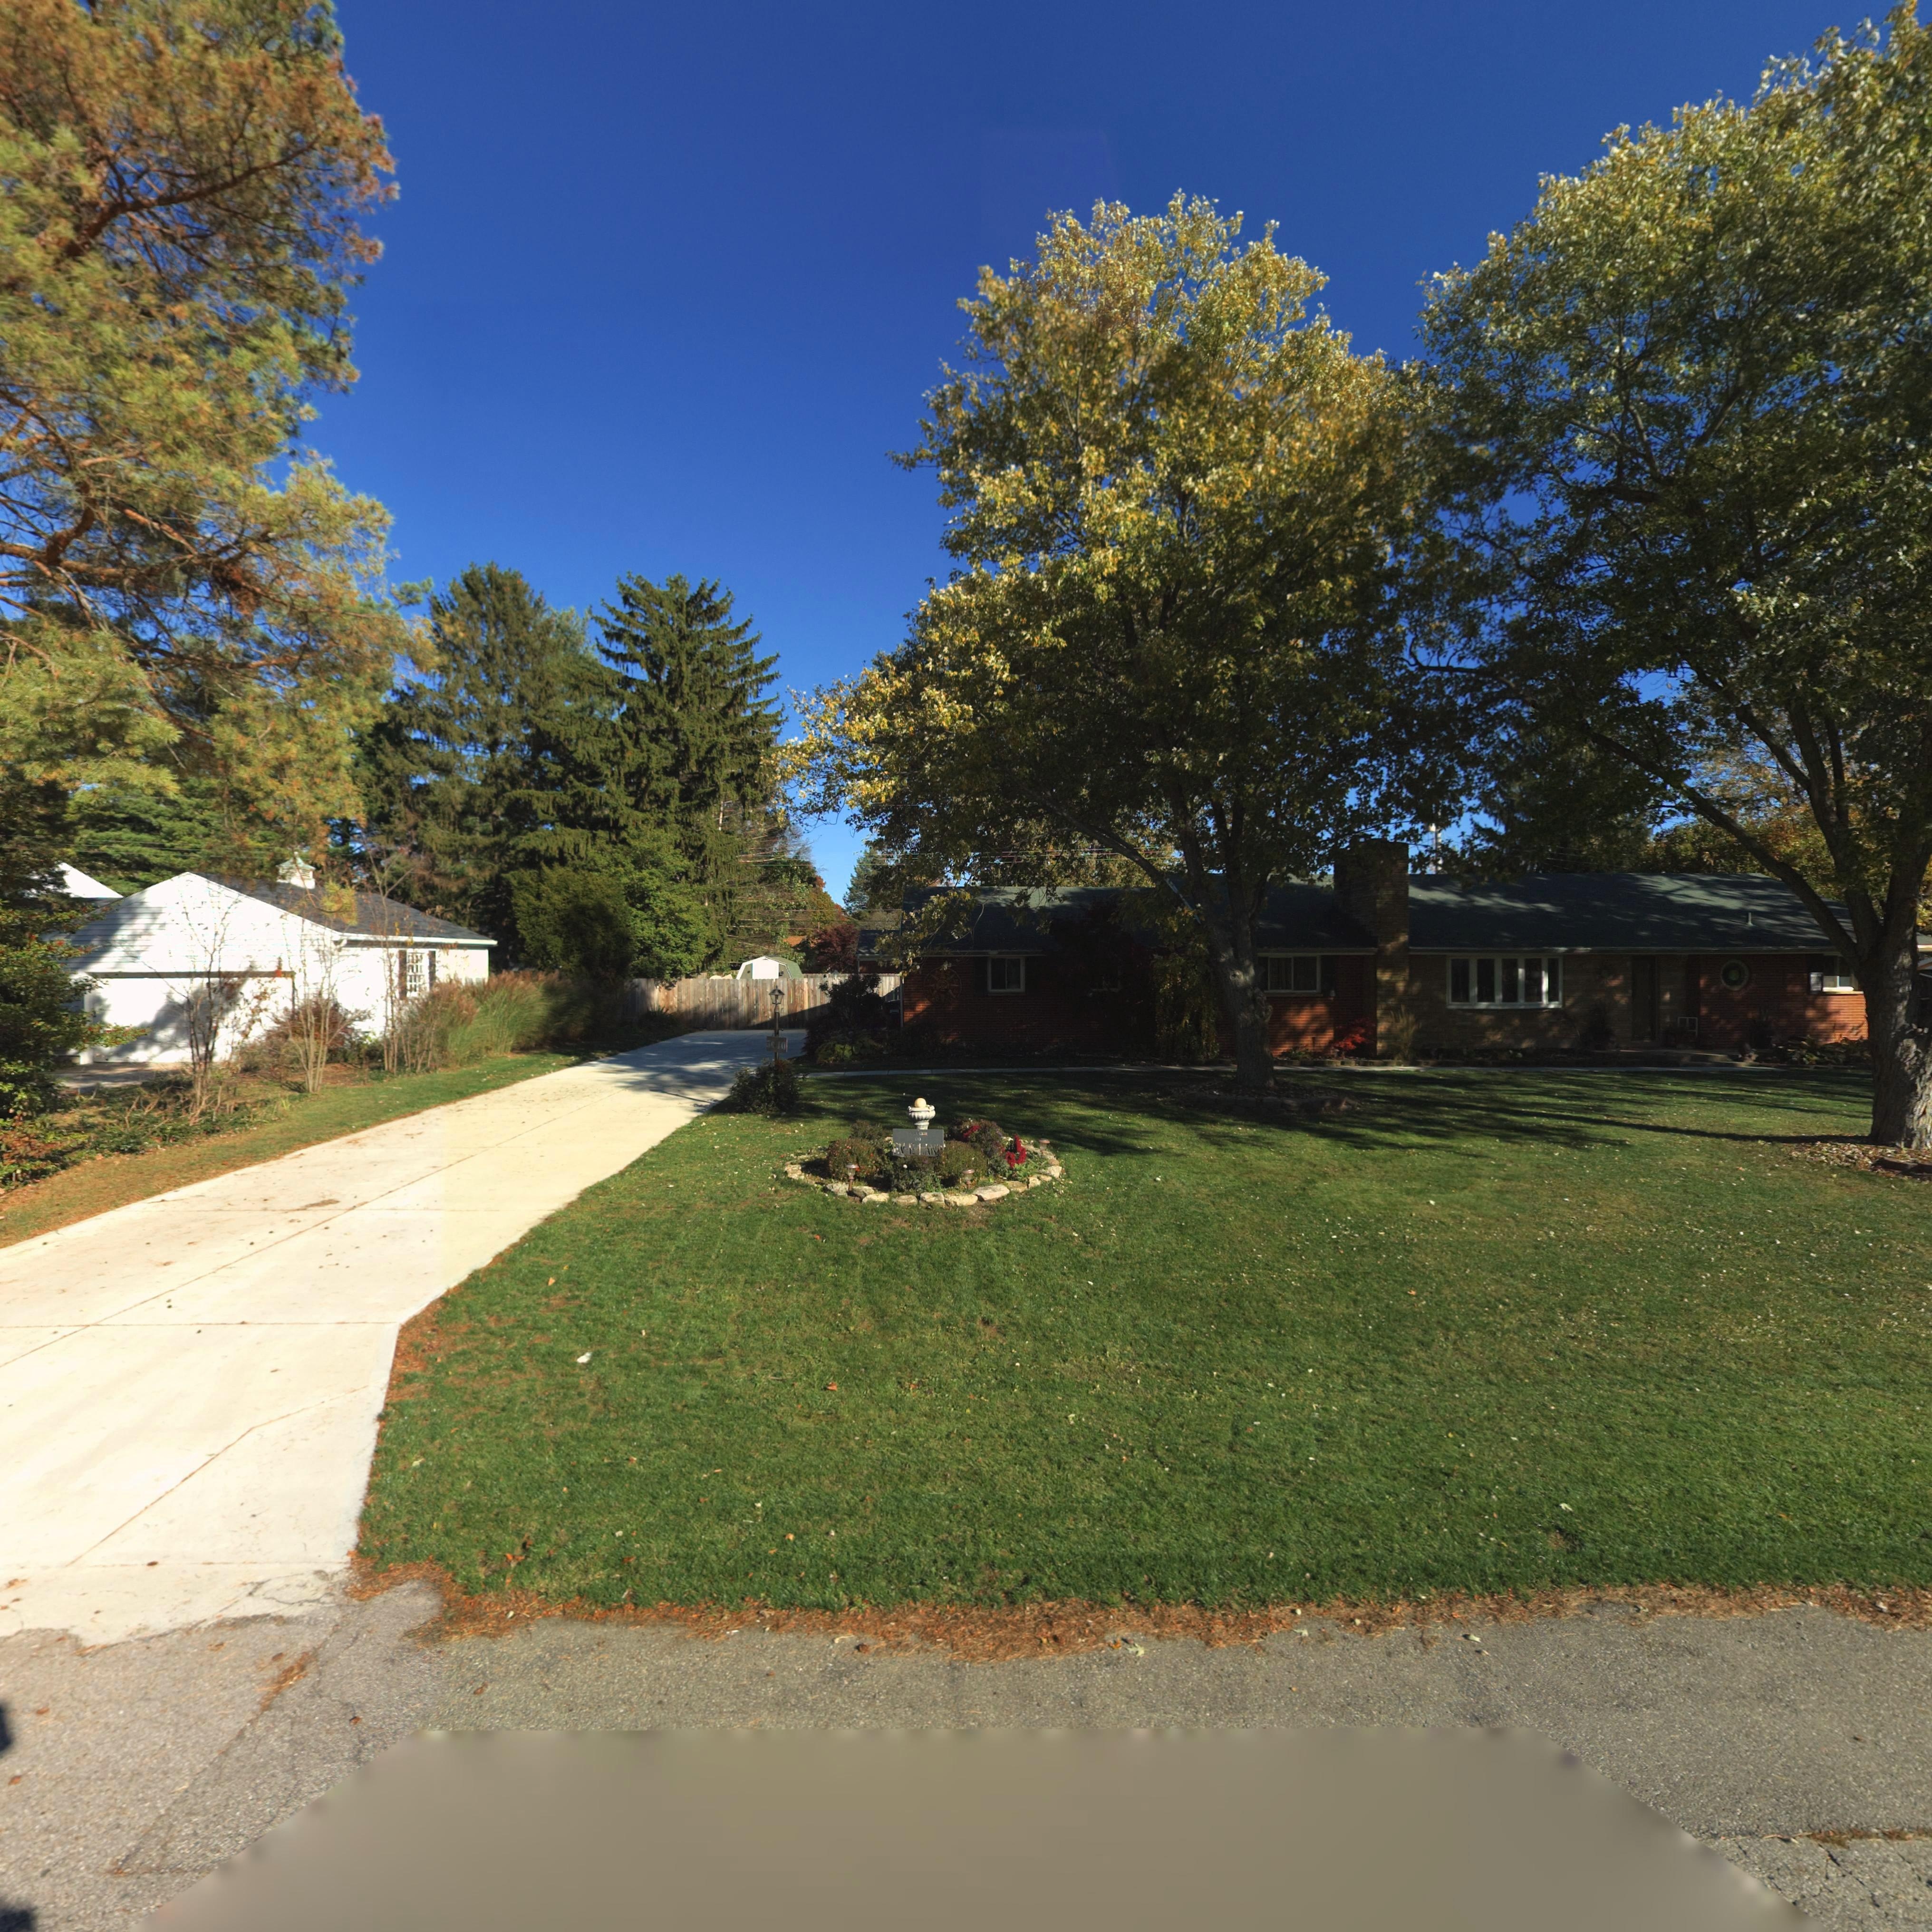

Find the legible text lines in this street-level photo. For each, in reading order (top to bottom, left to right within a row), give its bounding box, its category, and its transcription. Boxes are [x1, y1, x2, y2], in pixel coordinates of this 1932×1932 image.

[766, 1039, 786, 1051] StreetNumber: 5640
[892, 1141, 937, 1156] None: EV*E*LAN